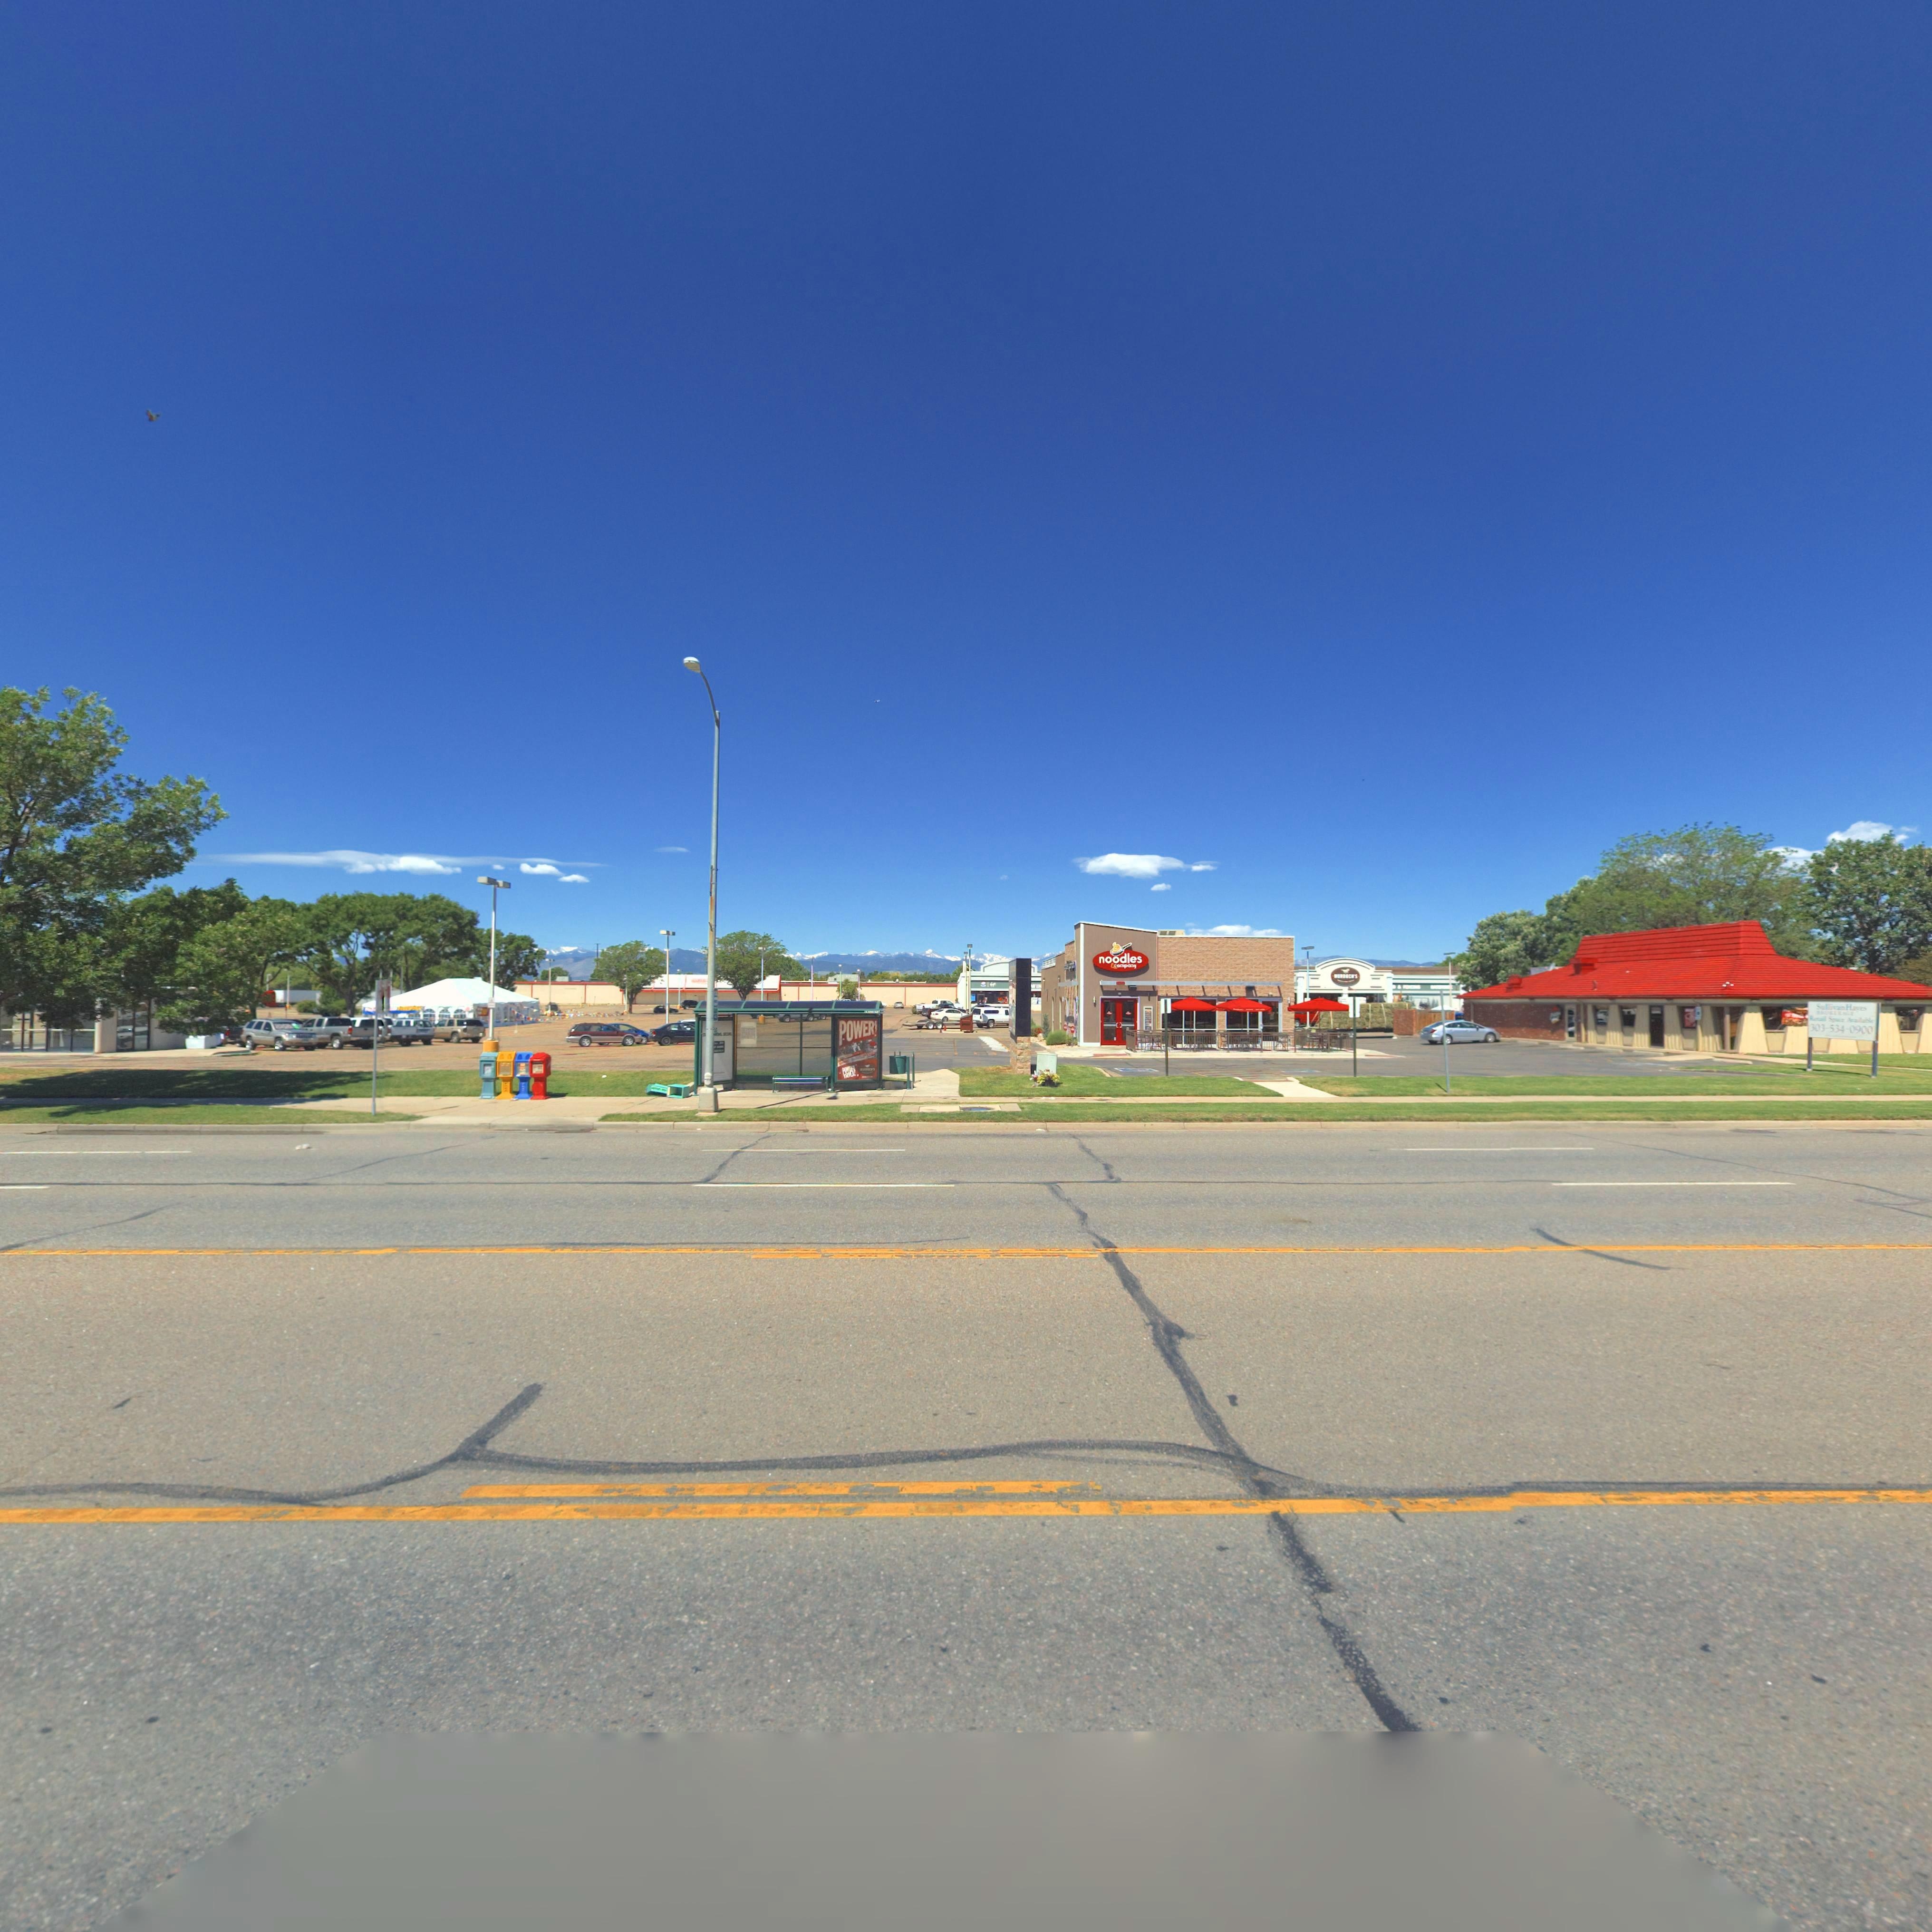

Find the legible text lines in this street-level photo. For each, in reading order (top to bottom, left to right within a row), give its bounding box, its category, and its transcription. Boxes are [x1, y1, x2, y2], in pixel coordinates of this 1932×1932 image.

[1098, 952, 1142, 964] BusinessName: noodles
[1113, 964, 1137, 969] BusinessName: compa*y
[1333, 974, 1357, 978] BusinessName: *****C*S